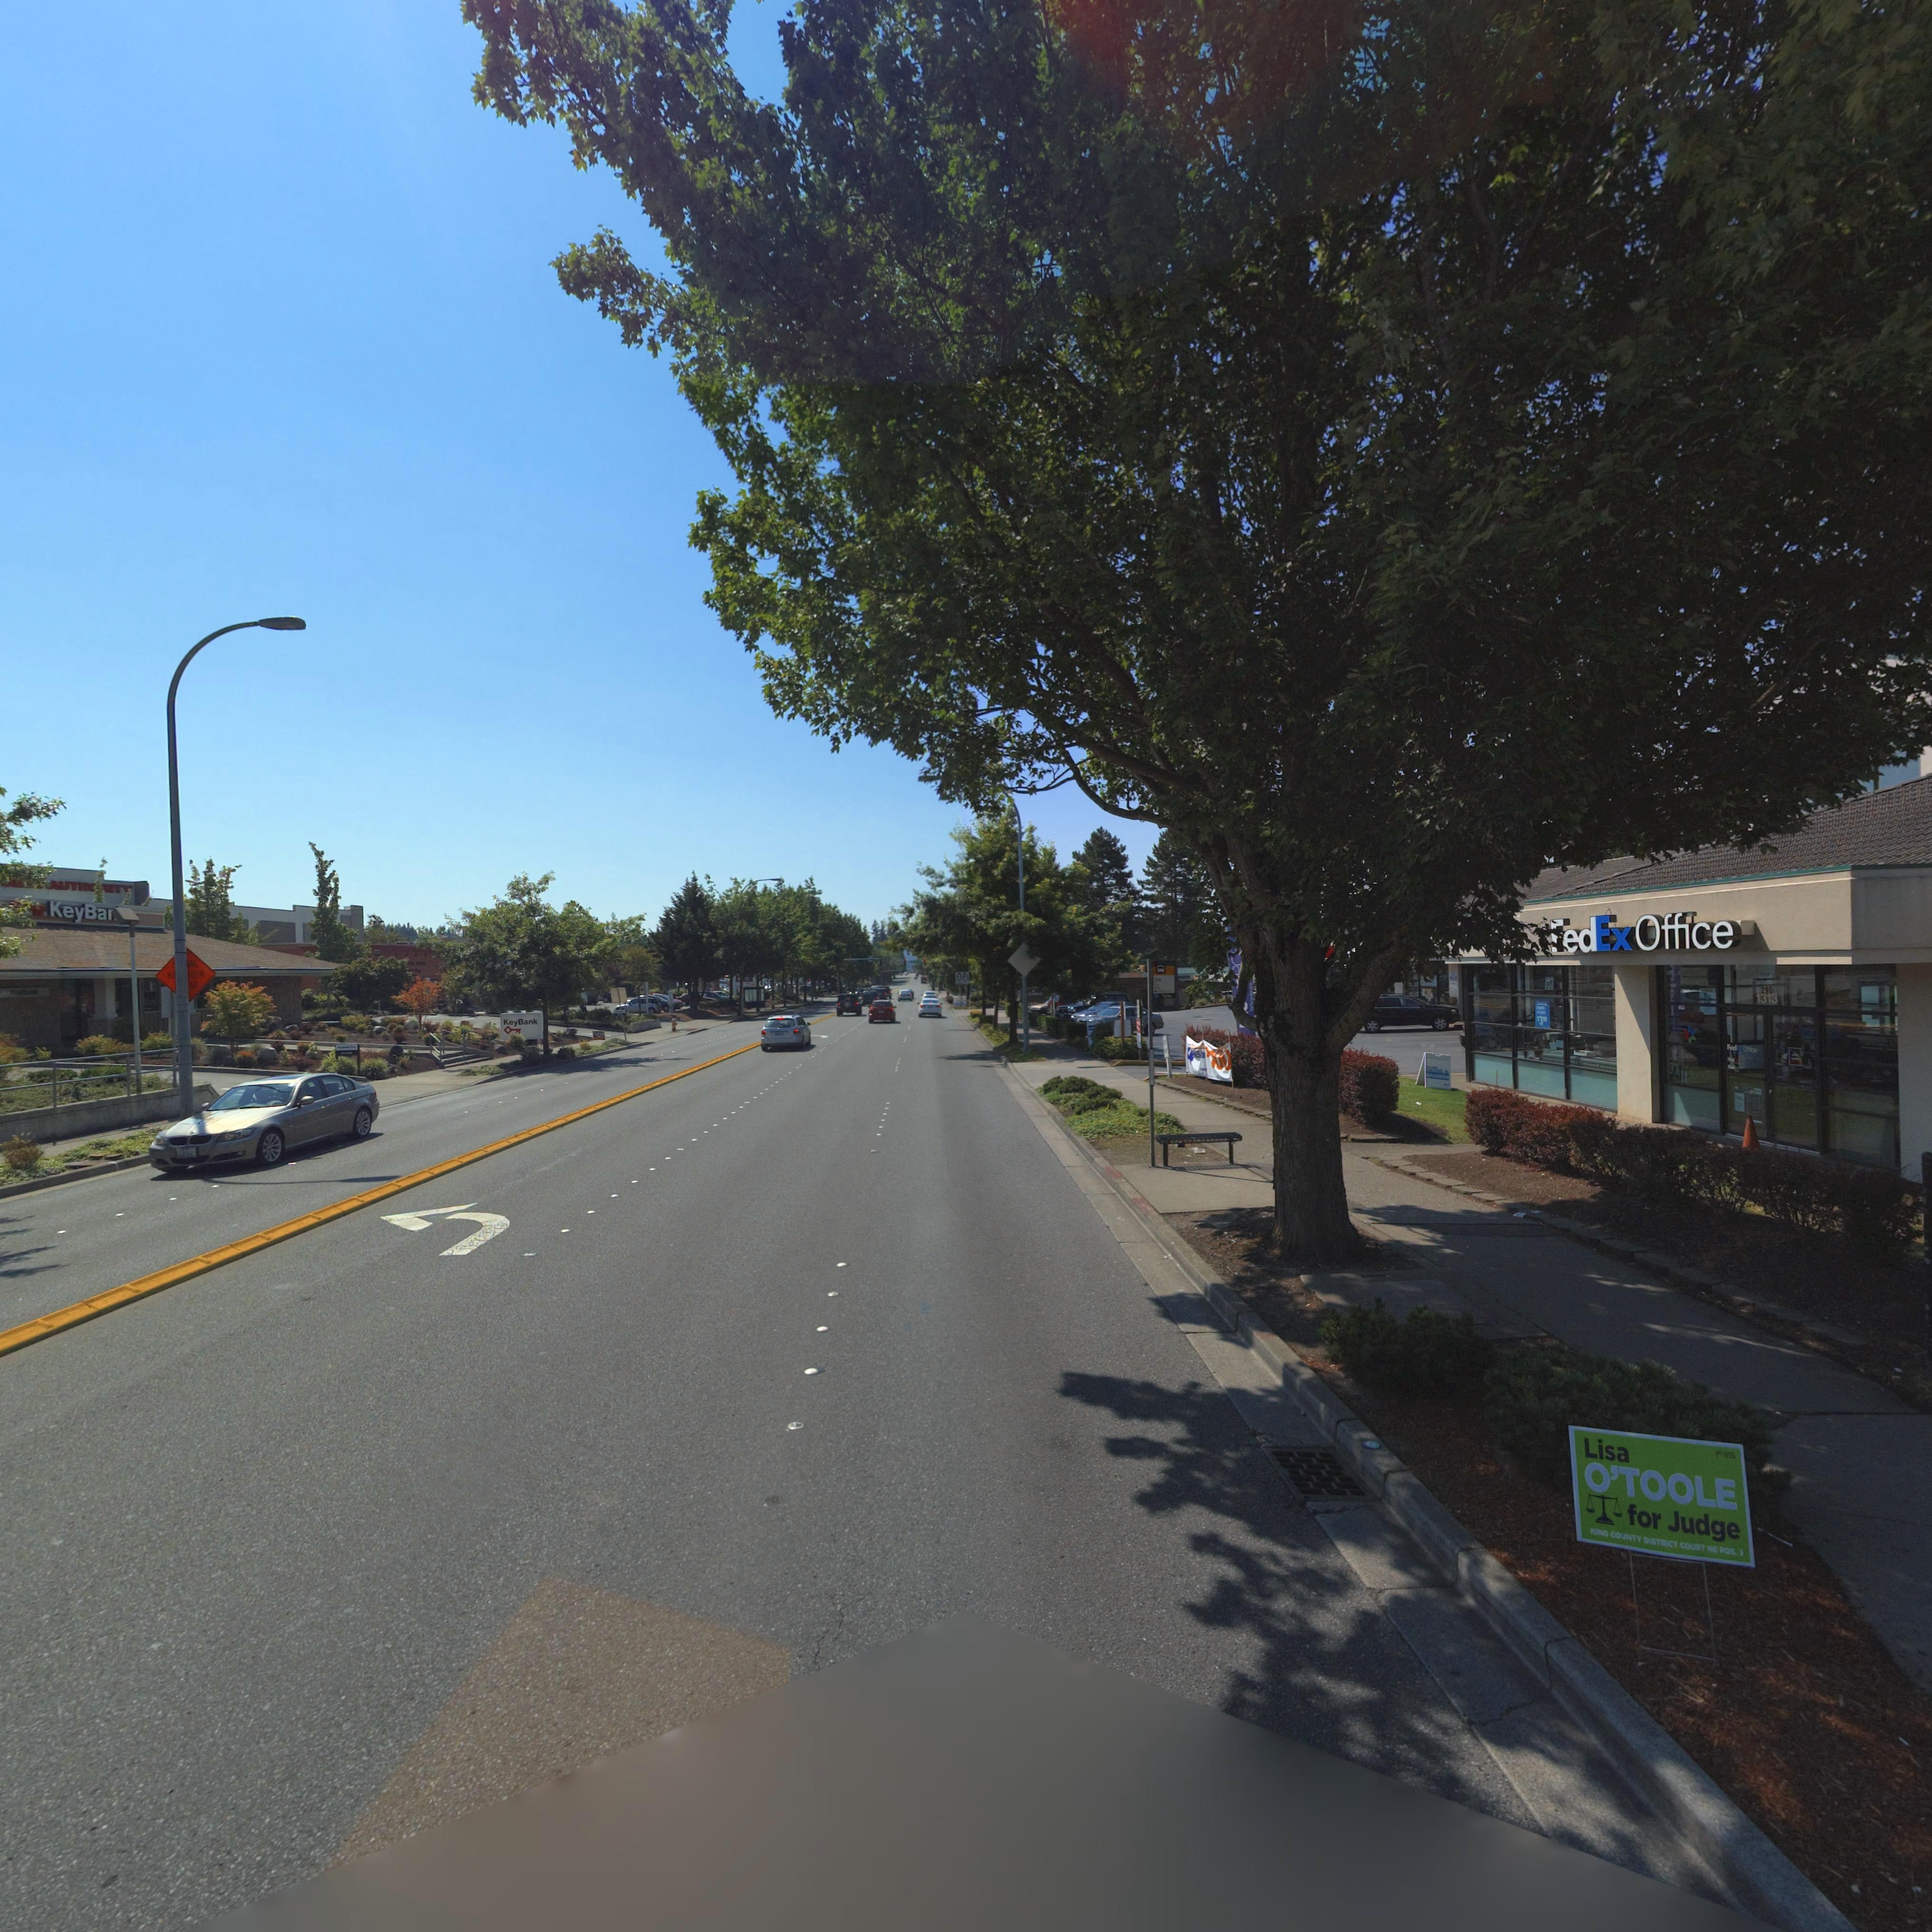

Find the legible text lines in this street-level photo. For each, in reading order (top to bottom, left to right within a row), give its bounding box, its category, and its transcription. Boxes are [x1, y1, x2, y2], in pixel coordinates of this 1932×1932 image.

[48, 900, 113, 924] BusinessName: KeyBa*
[1549, 908, 1743, 954] BusinessName: *edEx Office
[1755, 992, 1778, 1004] StreetNumber: 1313
[502, 1017, 538, 1027] BusinessName: KeyBank